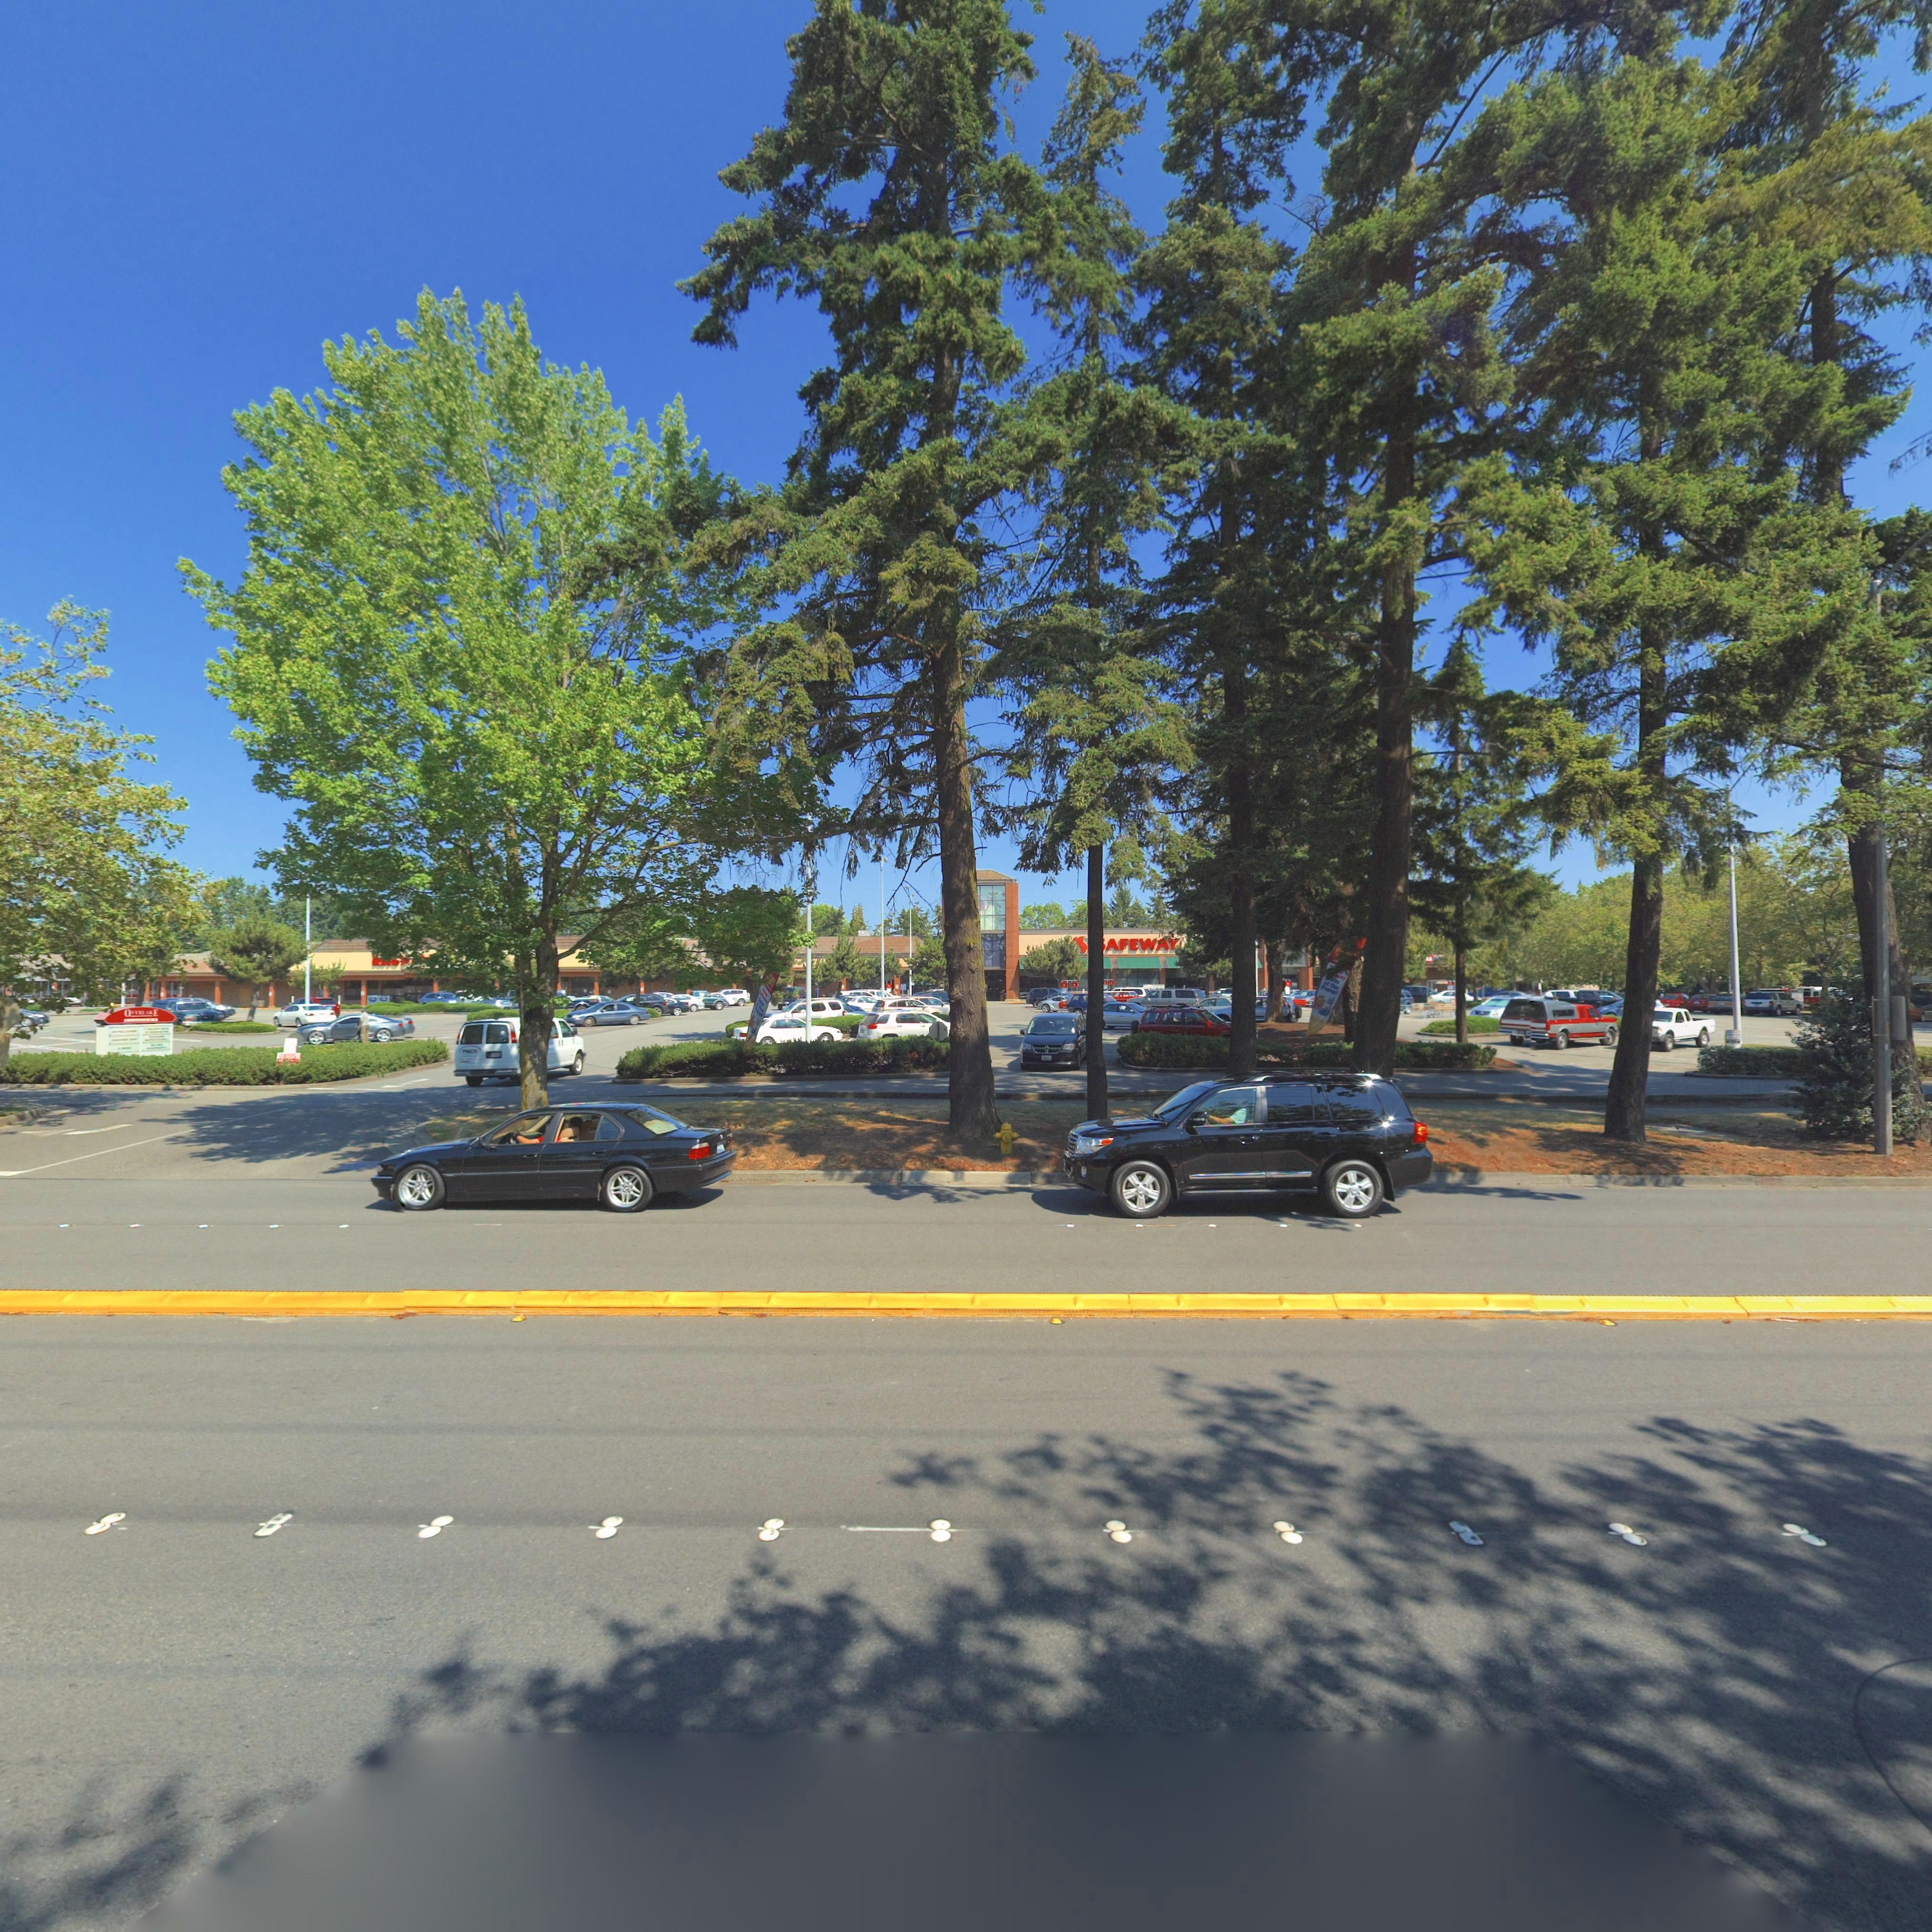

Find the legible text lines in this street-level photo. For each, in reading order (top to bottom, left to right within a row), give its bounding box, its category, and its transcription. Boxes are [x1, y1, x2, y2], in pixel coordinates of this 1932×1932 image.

[1105, 937, 1179, 950] BusinessName: AFEWAY